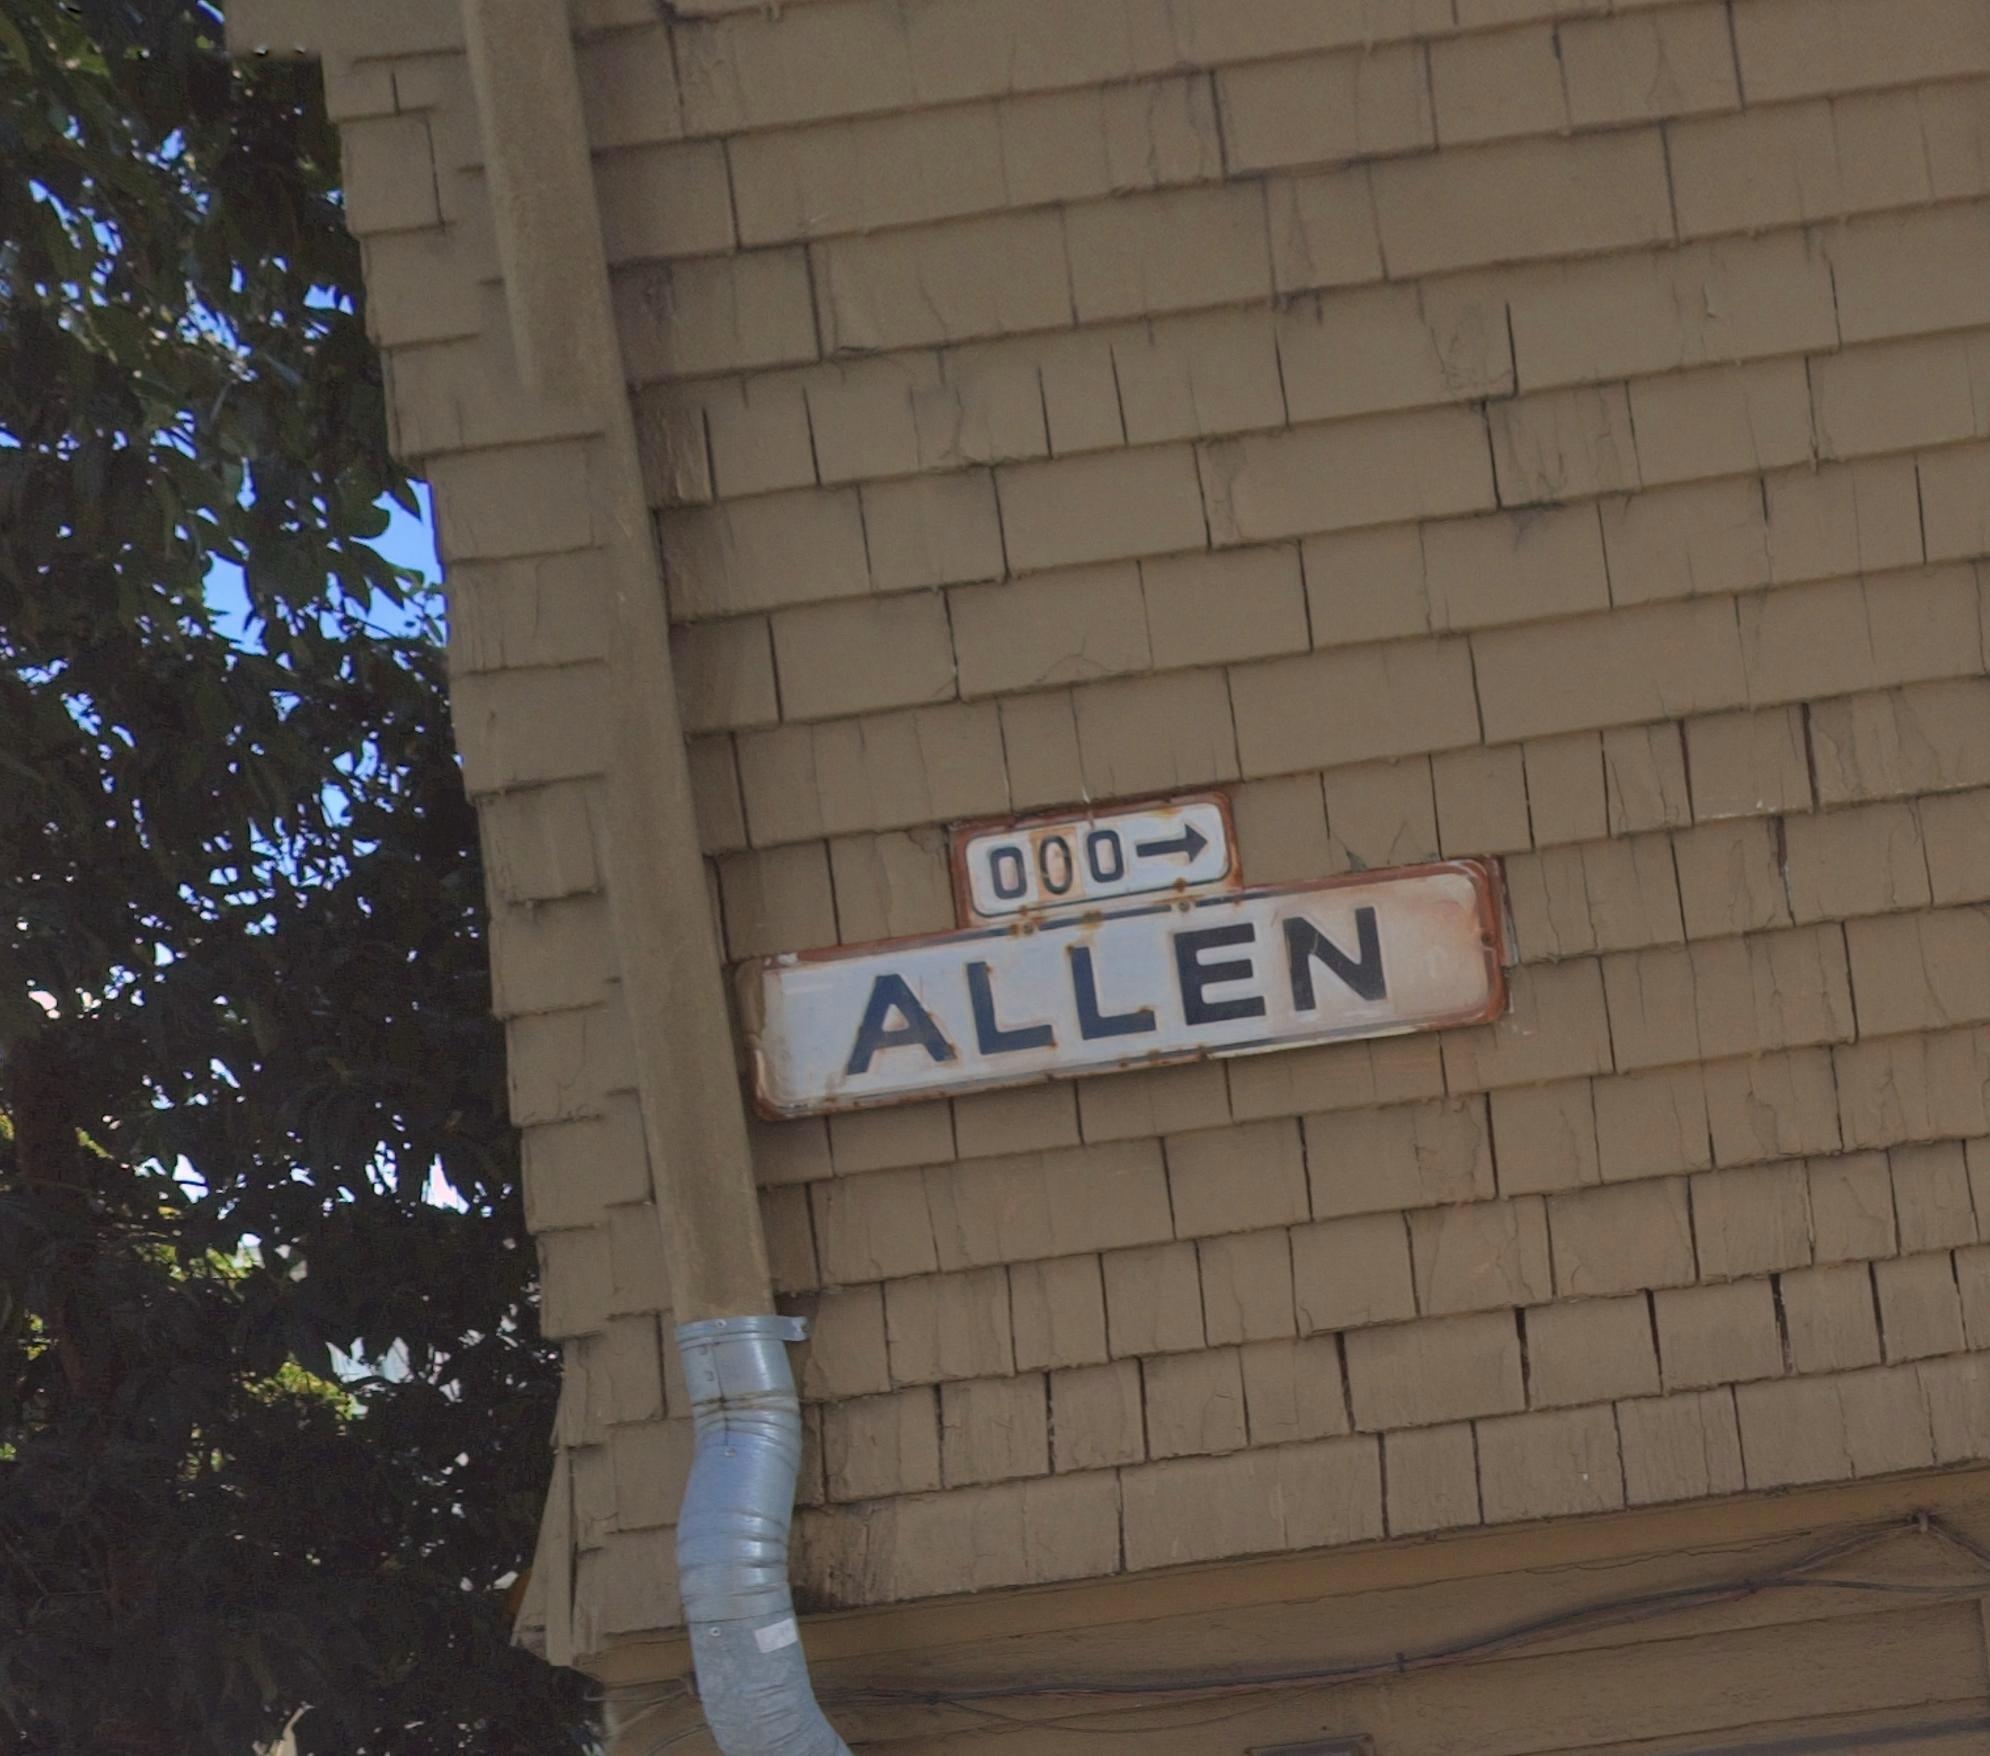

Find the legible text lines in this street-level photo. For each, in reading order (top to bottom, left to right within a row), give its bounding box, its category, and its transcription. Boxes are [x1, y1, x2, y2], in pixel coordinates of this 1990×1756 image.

[982, 817, 1216, 906] StreetNumberRange: 000->
[837, 895, 1395, 1081] StreetName: ALLEN